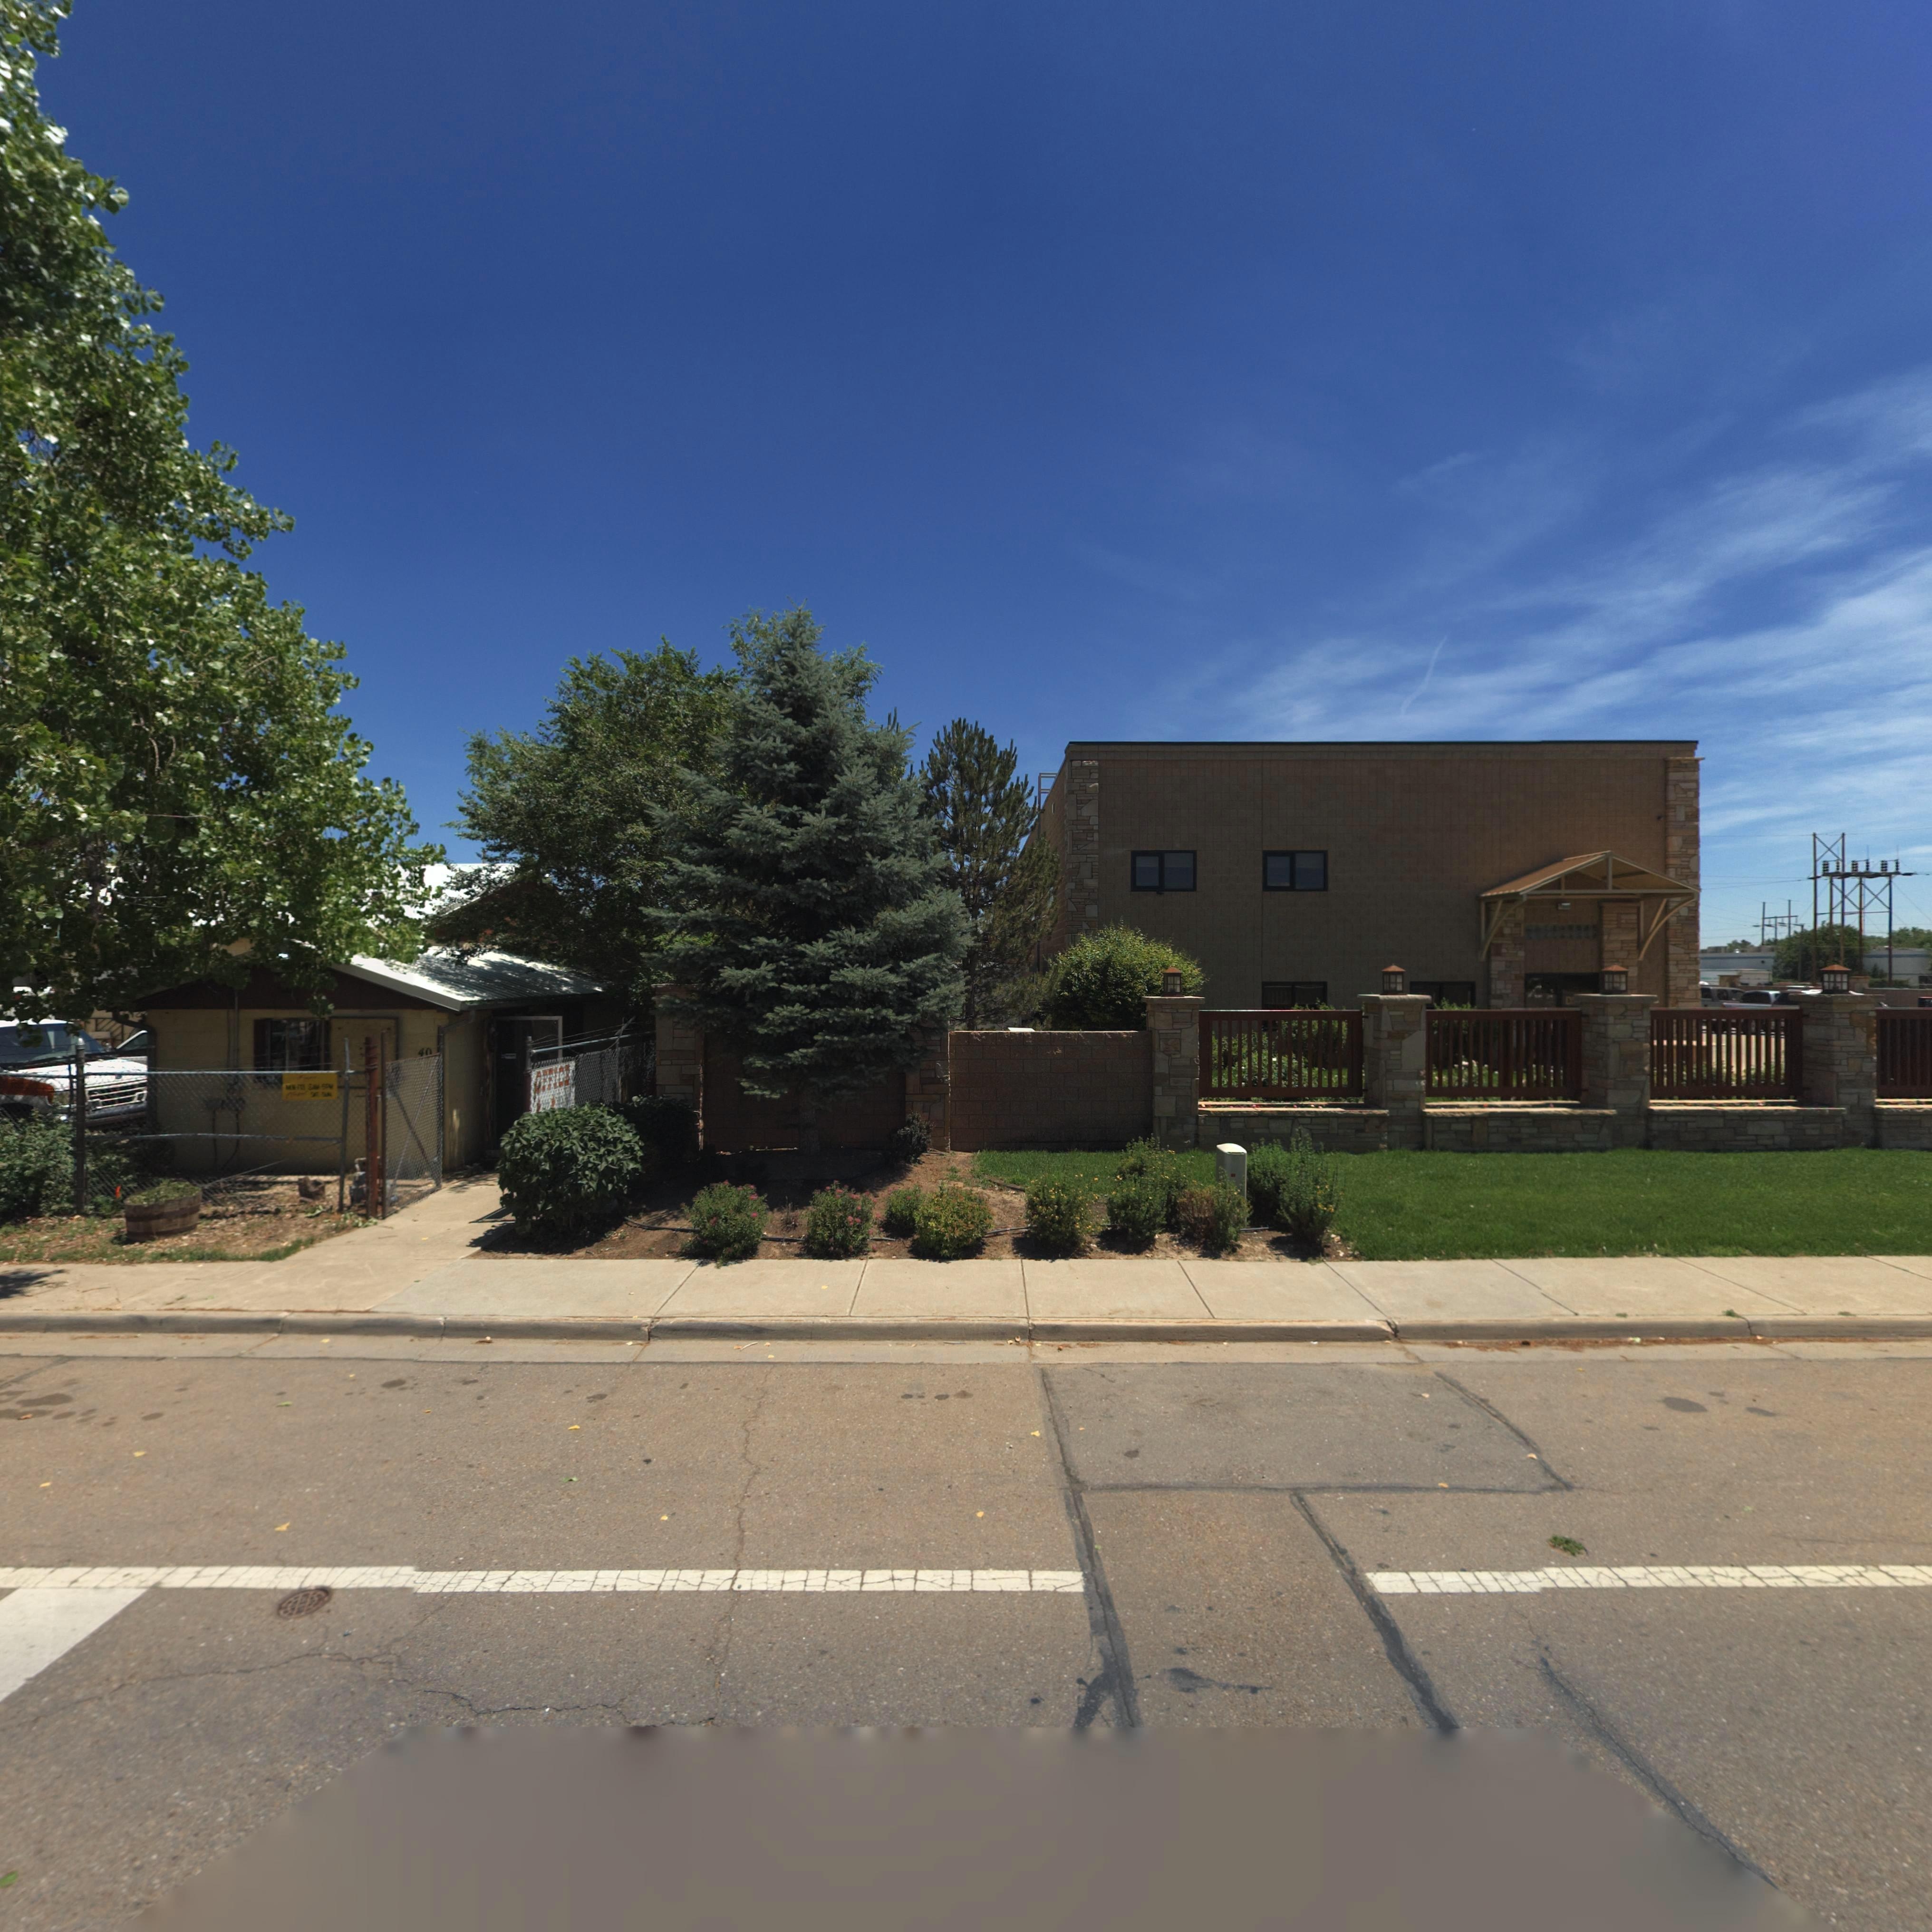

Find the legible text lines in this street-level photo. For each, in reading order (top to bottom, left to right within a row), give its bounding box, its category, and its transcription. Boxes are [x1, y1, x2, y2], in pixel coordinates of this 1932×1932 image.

[417, 1046, 433, 1058] StreetNumber: 40